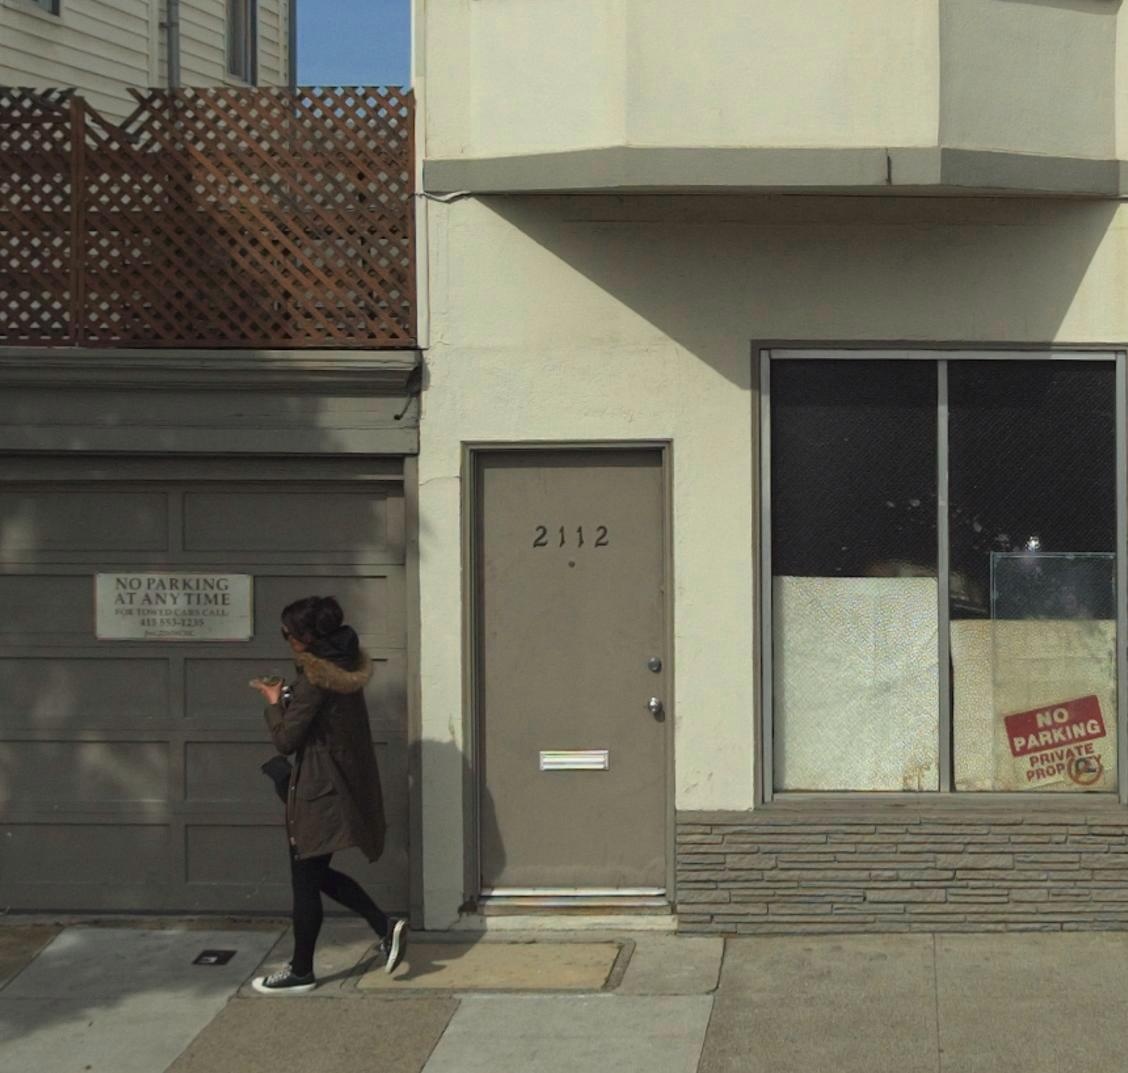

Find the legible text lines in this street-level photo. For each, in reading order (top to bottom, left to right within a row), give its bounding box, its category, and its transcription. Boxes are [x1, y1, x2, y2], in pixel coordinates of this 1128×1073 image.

[533, 524, 610, 549] StreetNumber: 2112
[115, 577, 229, 591] None: NO PARKING
[114, 592, 232, 605] None: AT ANY TIME
[115, 608, 229, 617] None: FOR TOWED CARS CALL
[139, 618, 206, 627] None: 415-553-1235
[1034, 705, 1070, 730] None: NO
[1012, 717, 1102, 753] None: PARKING
[1029, 742, 1096, 769] None: PRIVATE
[1025, 761, 1066, 784] None: PROP